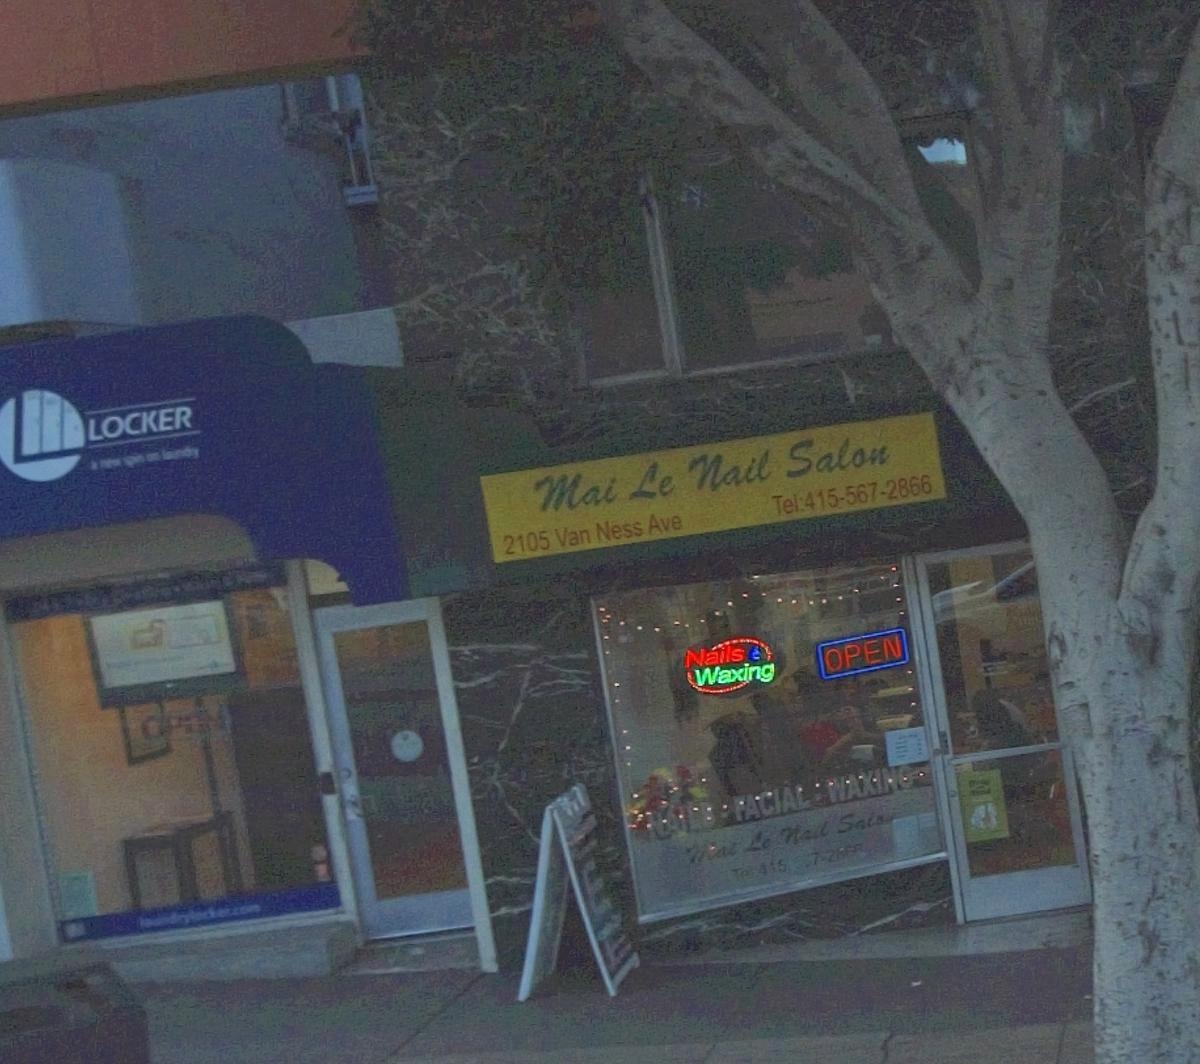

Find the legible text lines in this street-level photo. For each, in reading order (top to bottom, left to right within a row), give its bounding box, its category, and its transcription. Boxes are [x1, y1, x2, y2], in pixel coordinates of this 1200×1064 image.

[84, 401, 197, 447] BusinessName: LOCKER
[527, 432, 895, 517] BusinessName: Mai Le Nail Salon
[767, 471, 936, 519] None: Tel:415-567-2866
[499, 527, 554, 559] StreetNumber: 2105
[550, 509, 687, 551] StreetName: Van Ness Ave
[679, 638, 749, 673] None: Nails
[689, 660, 778, 691] None: Waxing
[819, 631, 905, 677] None: OPEN
[728, 759, 919, 829] None: FACIAL WAXIN*
[679, 807, 902, 868] BusinessName: Mai Le Nail Salon